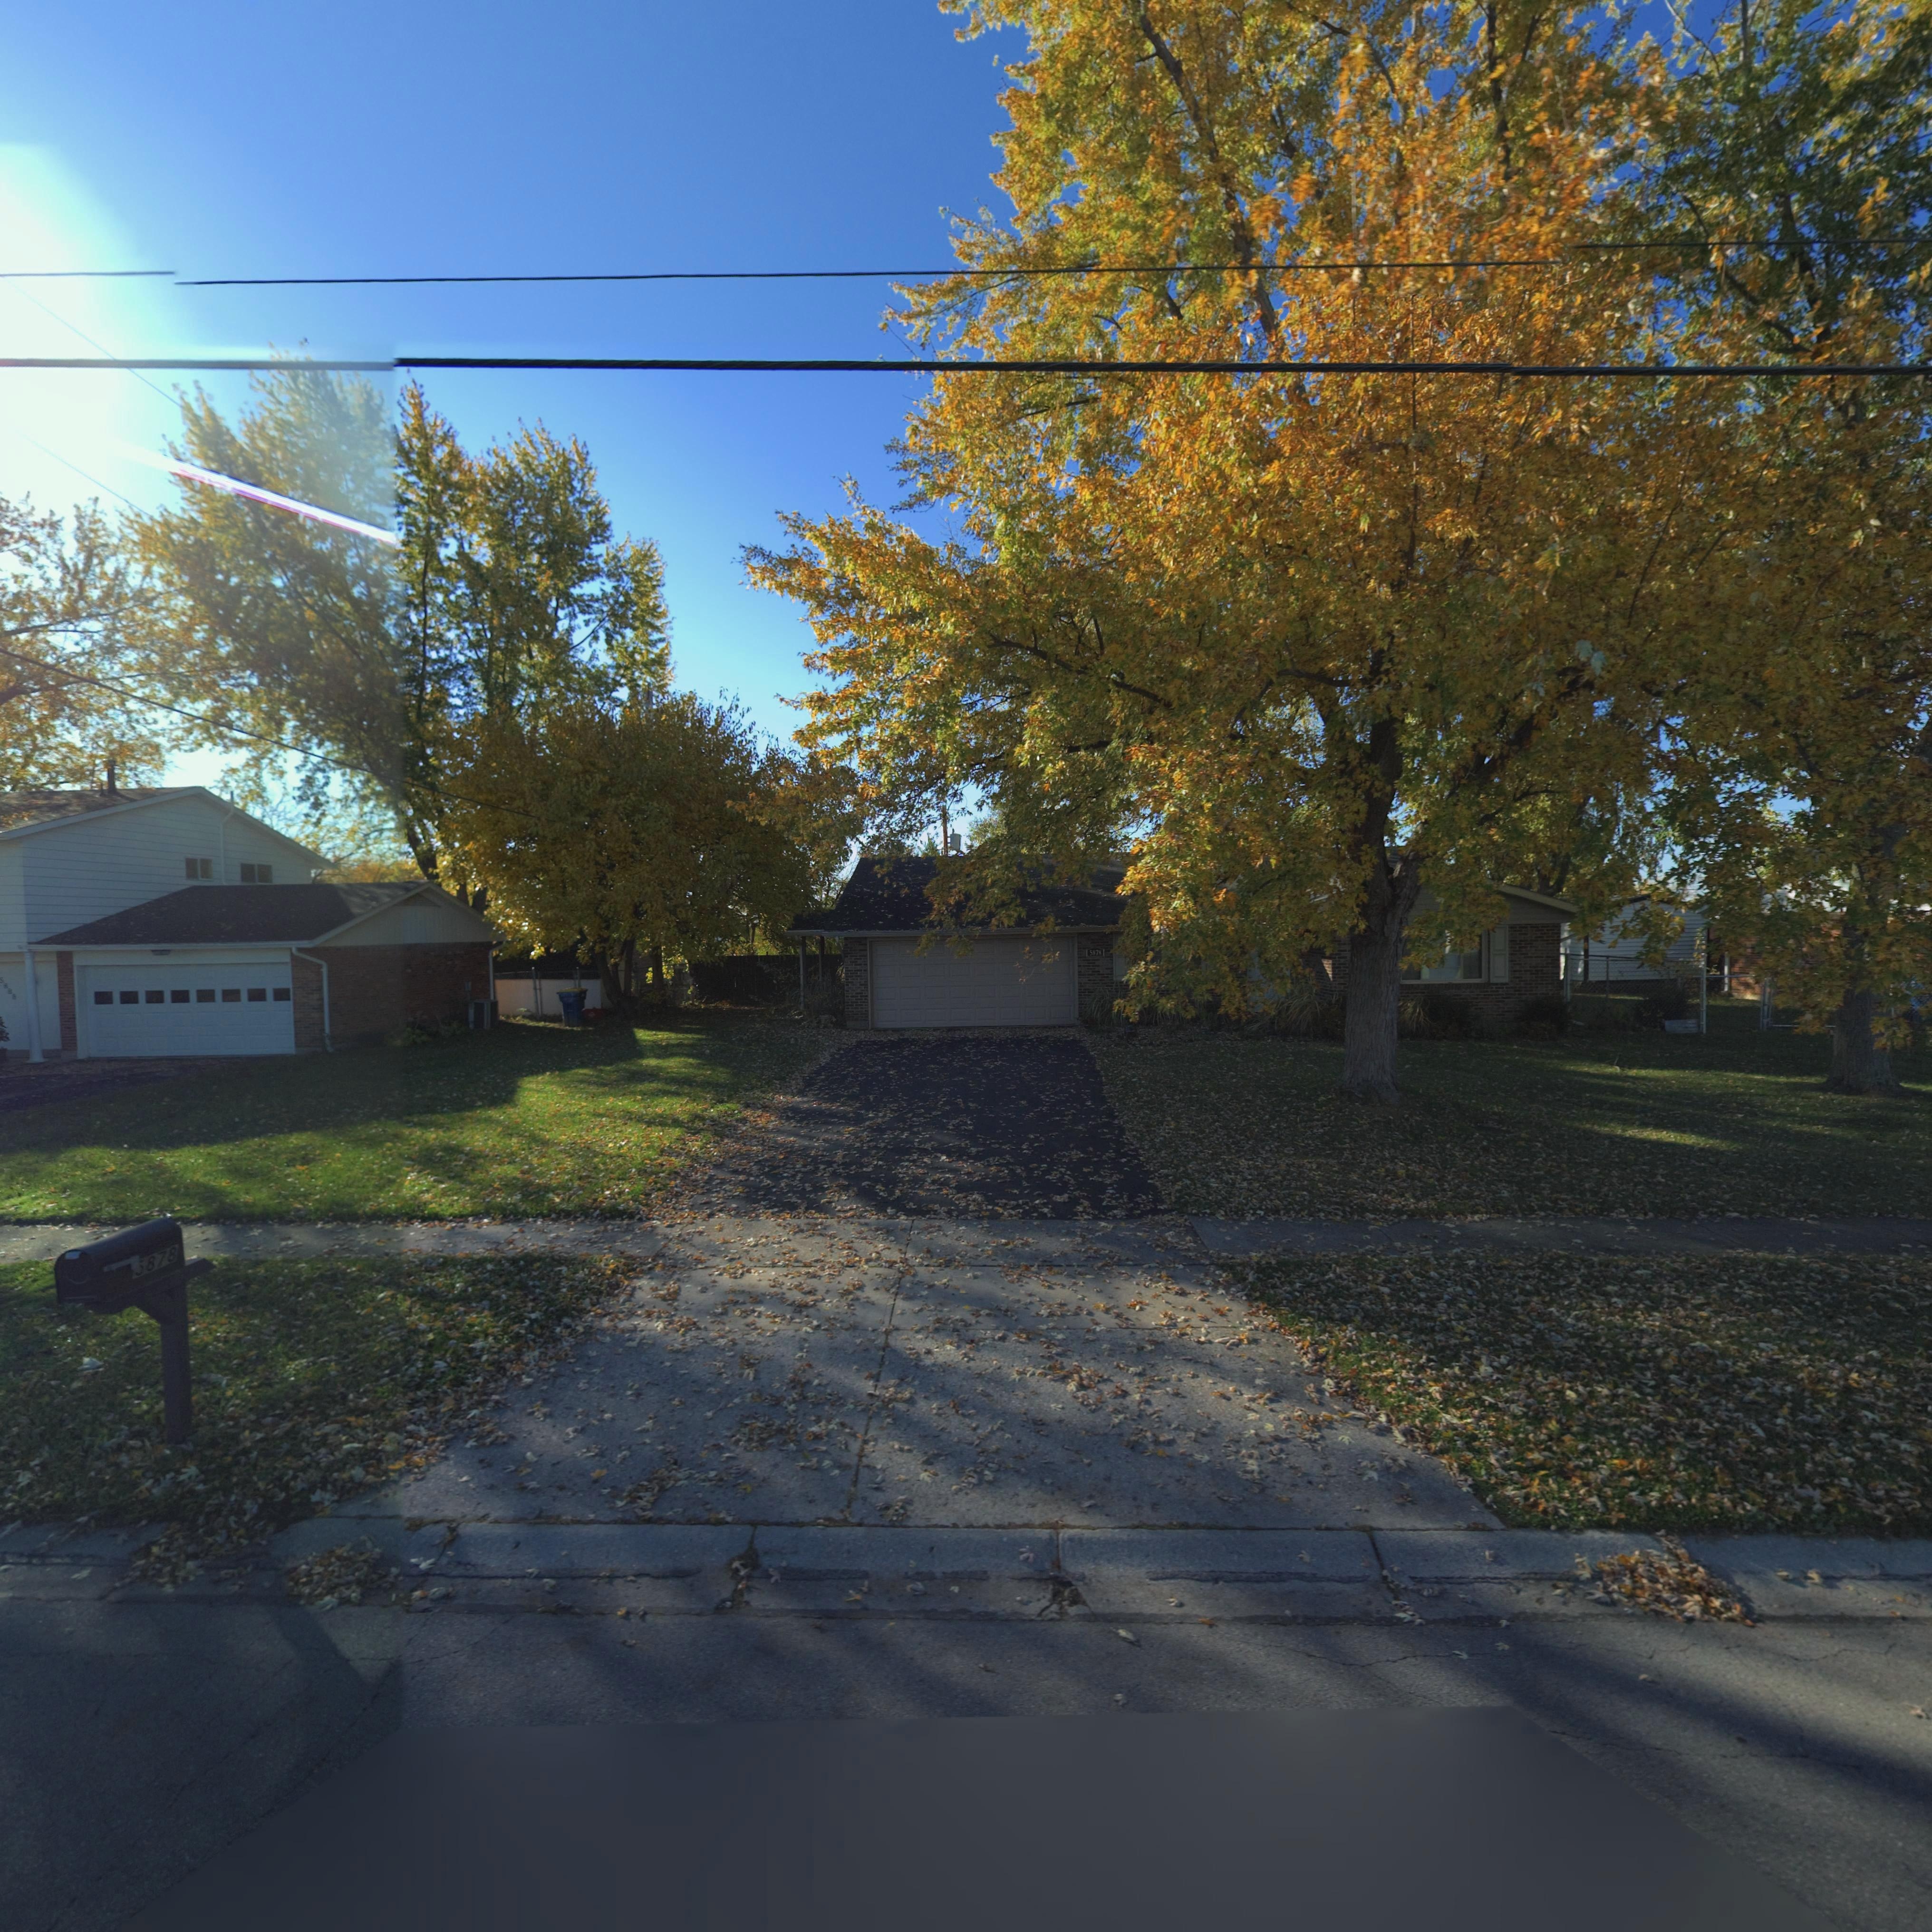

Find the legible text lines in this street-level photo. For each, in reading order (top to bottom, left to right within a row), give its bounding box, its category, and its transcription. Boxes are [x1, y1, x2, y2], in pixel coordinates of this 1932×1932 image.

[1089, 949, 1102, 956] StreetNumber: 5878
[0, 976, 18, 1001] StreetNumber: 5888
[134, 1246, 177, 1277] StreetNumber: 5878